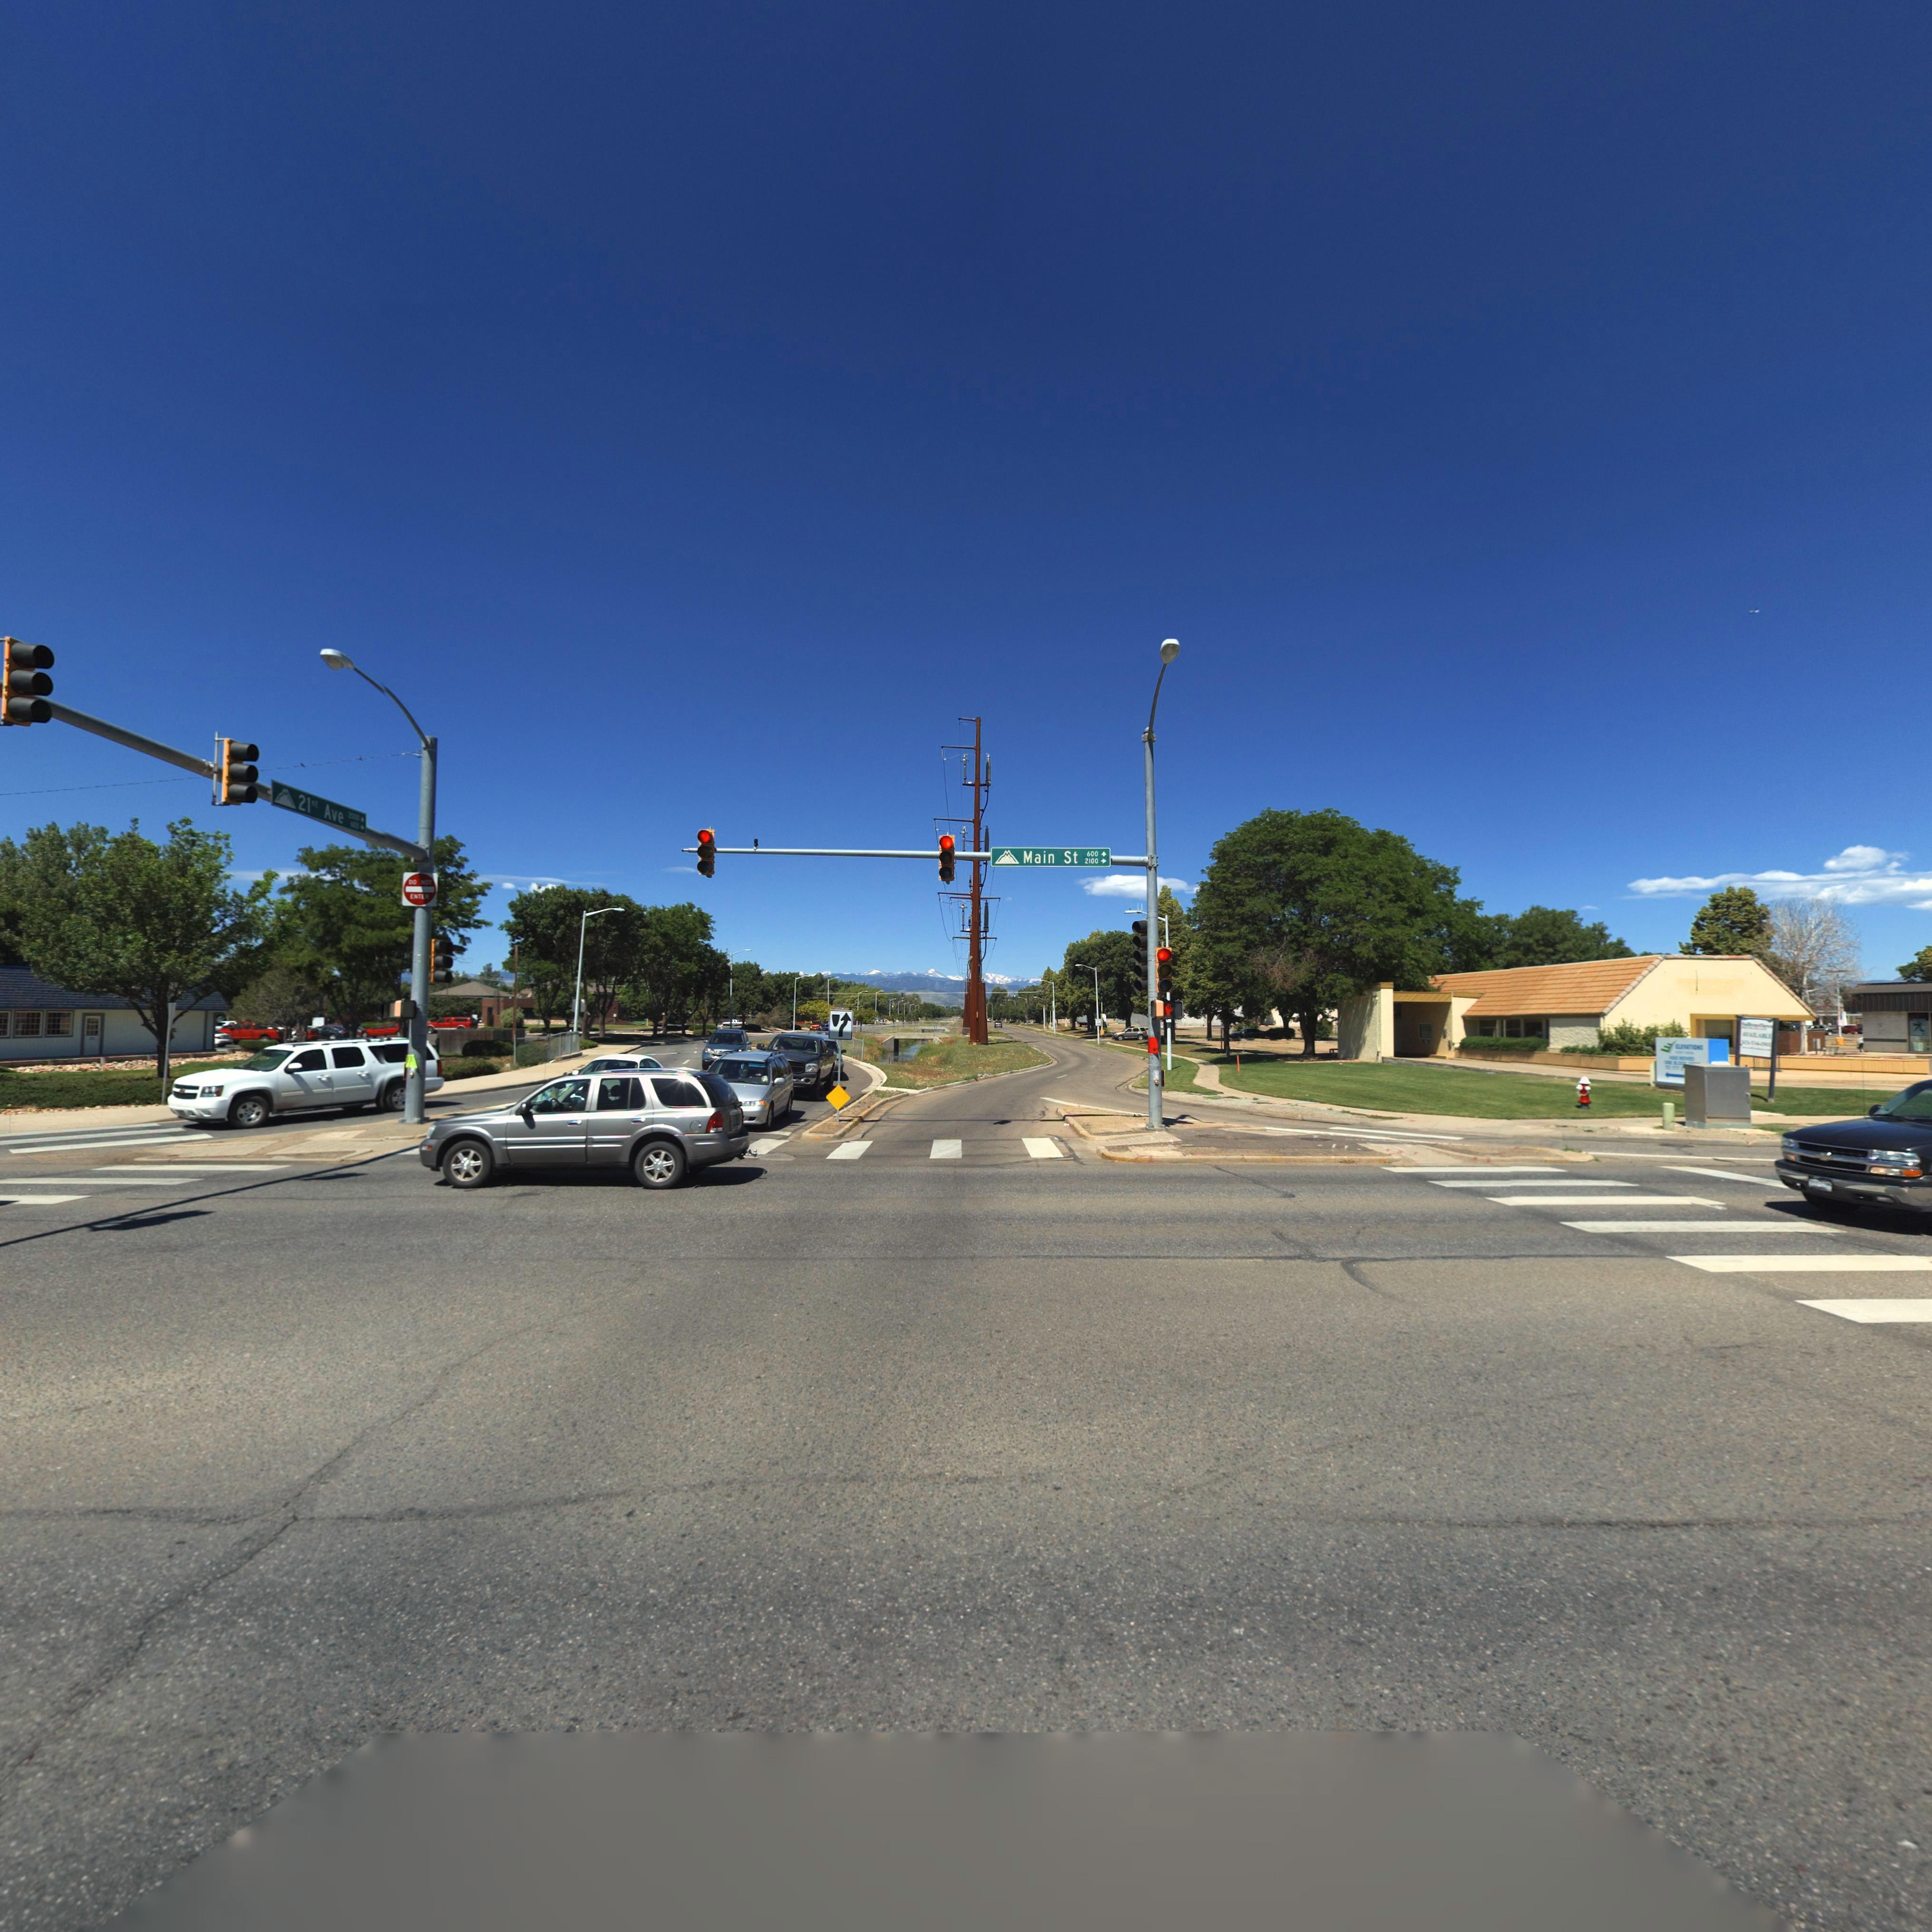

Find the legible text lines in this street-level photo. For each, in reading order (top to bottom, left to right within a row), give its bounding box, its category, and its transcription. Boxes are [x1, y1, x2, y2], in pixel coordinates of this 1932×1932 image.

[298, 793, 344, 824] StreetName: 21st Ave
[348, 811, 360, 822] StreetNumberRange: 2000
[350, 820, 366, 831] StreetNumberRange: 600->
[1023, 850, 1078, 864] StreetName: Main St
[1086, 850, 1098, 857] StreetNumberRange: 600
[1084, 858, 1106, 864] StreetNumberRange: 2100 ->
[1675, 1043, 1703, 1050] BusinessName: ELEVATIONS